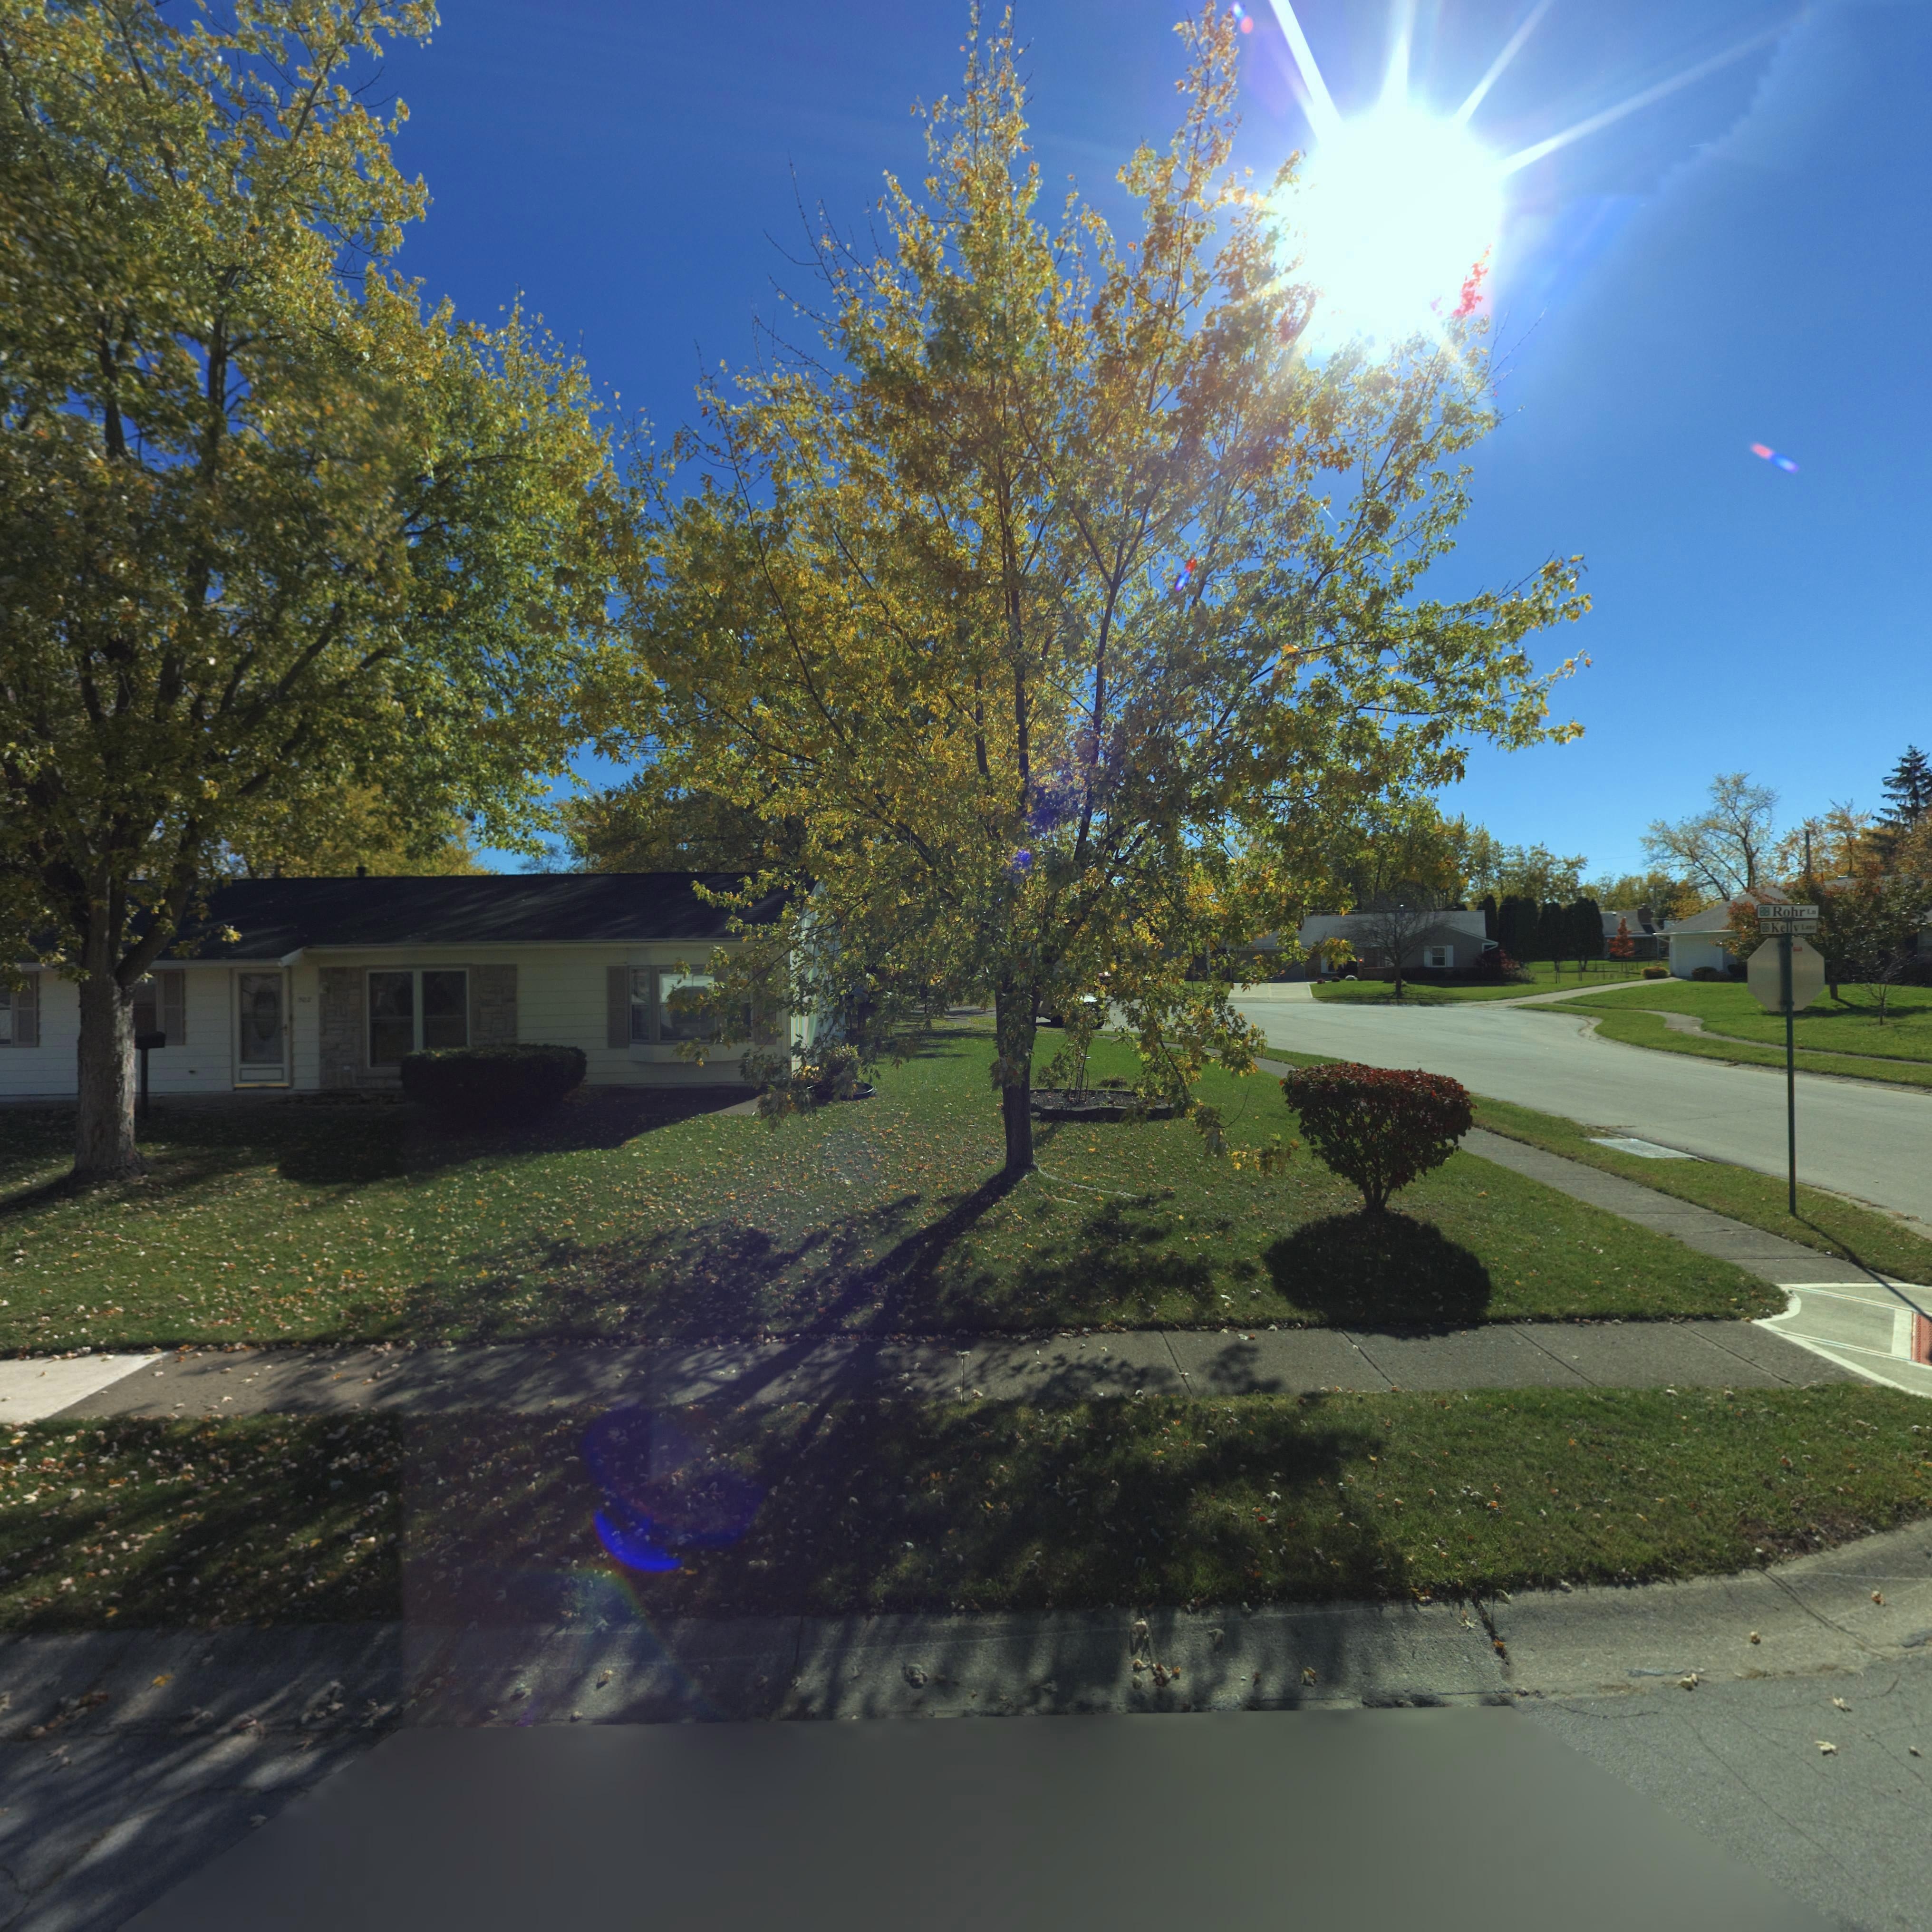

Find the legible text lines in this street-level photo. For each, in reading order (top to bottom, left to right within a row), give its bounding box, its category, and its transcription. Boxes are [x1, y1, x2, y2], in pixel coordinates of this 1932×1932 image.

[297, 996, 312, 1003] StreetNumber: 502